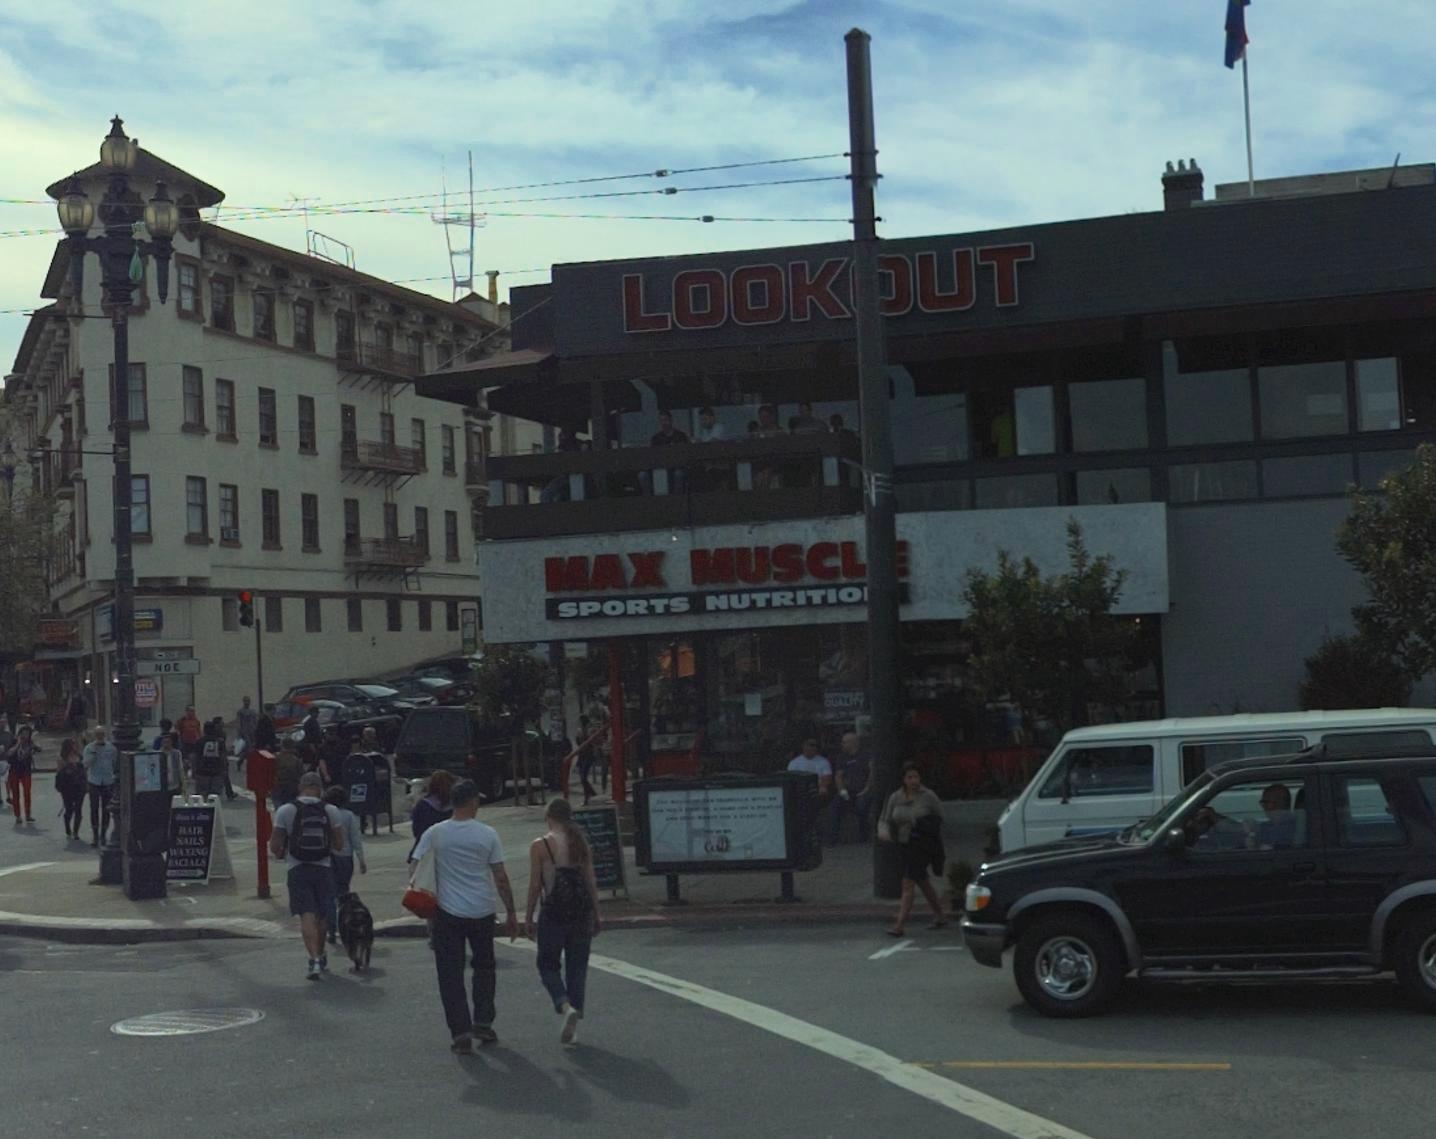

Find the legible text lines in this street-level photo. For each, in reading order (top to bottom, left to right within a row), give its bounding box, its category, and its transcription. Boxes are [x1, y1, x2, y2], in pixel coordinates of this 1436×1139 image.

[619, 239, 1036, 337] BusinessName: LOOK*UT
[543, 539, 868, 594] BusinessName: MAX MUSCL
[555, 584, 864, 620] None: SPORTS NUTRITIO
[152, 660, 182, 674] StreetName: NOE
[172, 834, 207, 848] None: NAILS